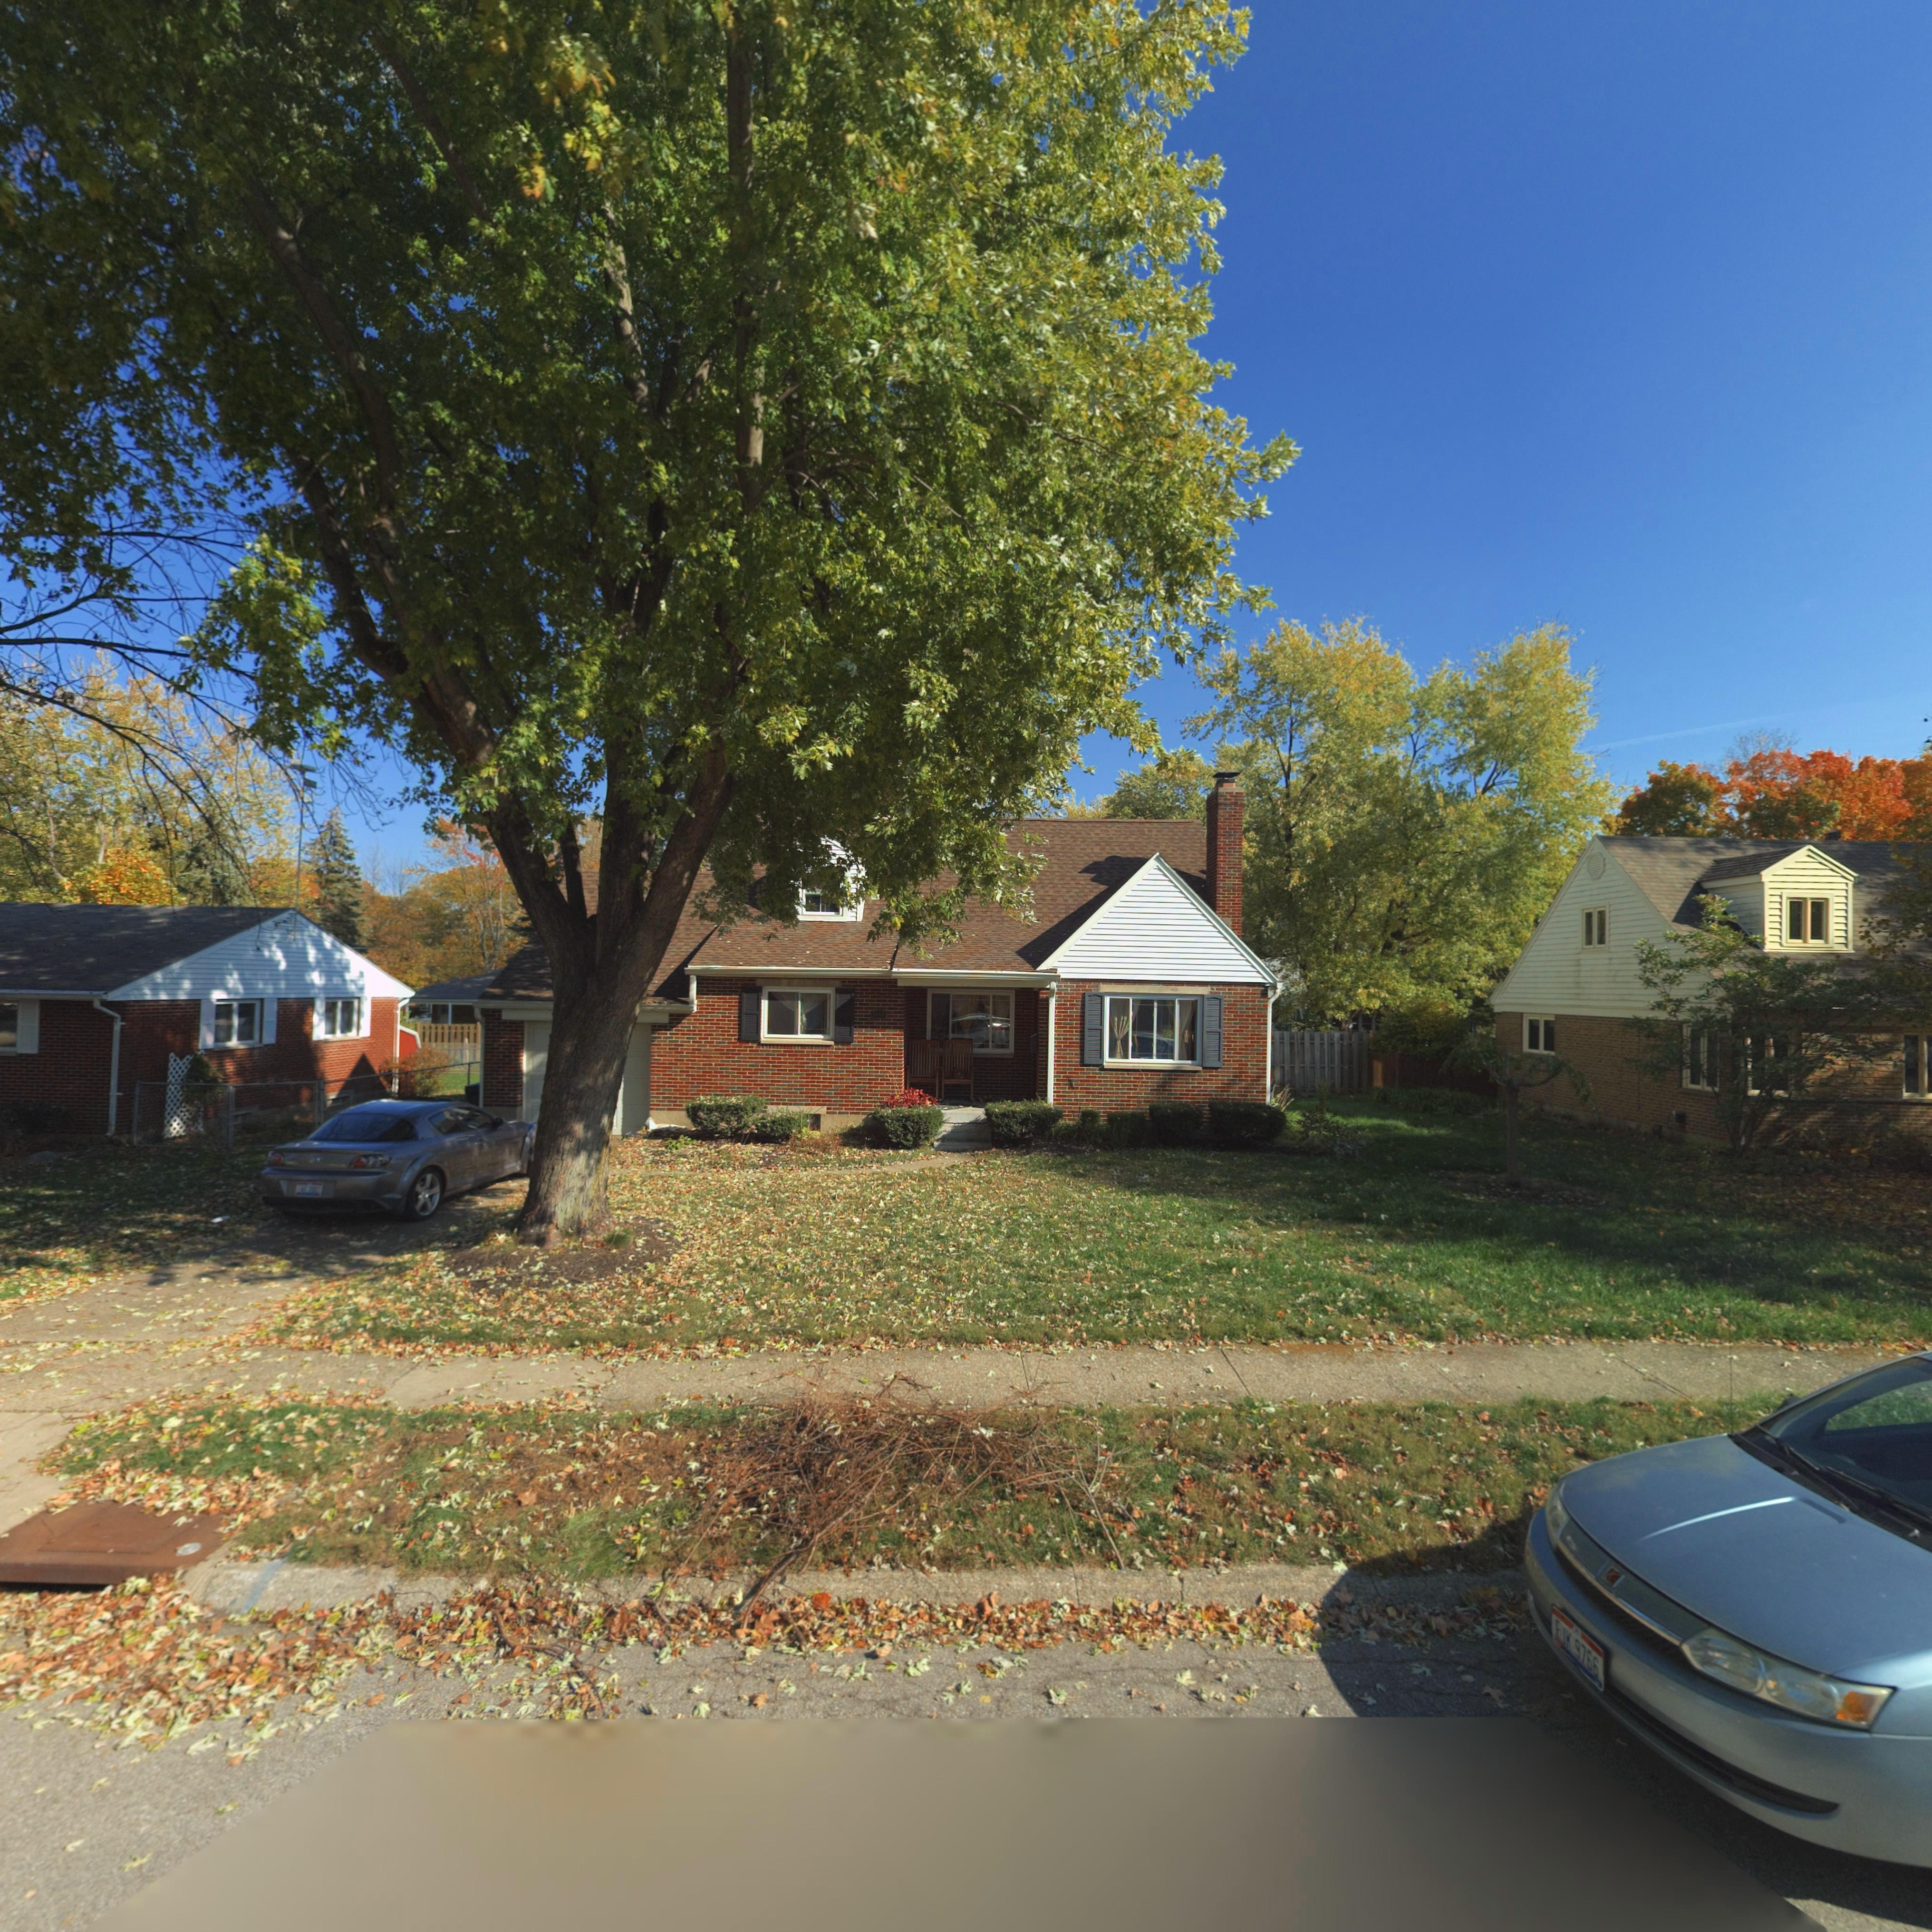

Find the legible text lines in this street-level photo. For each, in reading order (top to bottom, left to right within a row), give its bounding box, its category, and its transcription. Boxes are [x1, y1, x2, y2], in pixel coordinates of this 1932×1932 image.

[872, 1011, 886, 1017] StreetNumber: 3890
[1555, 1618, 1601, 1680] None: EJK*9766